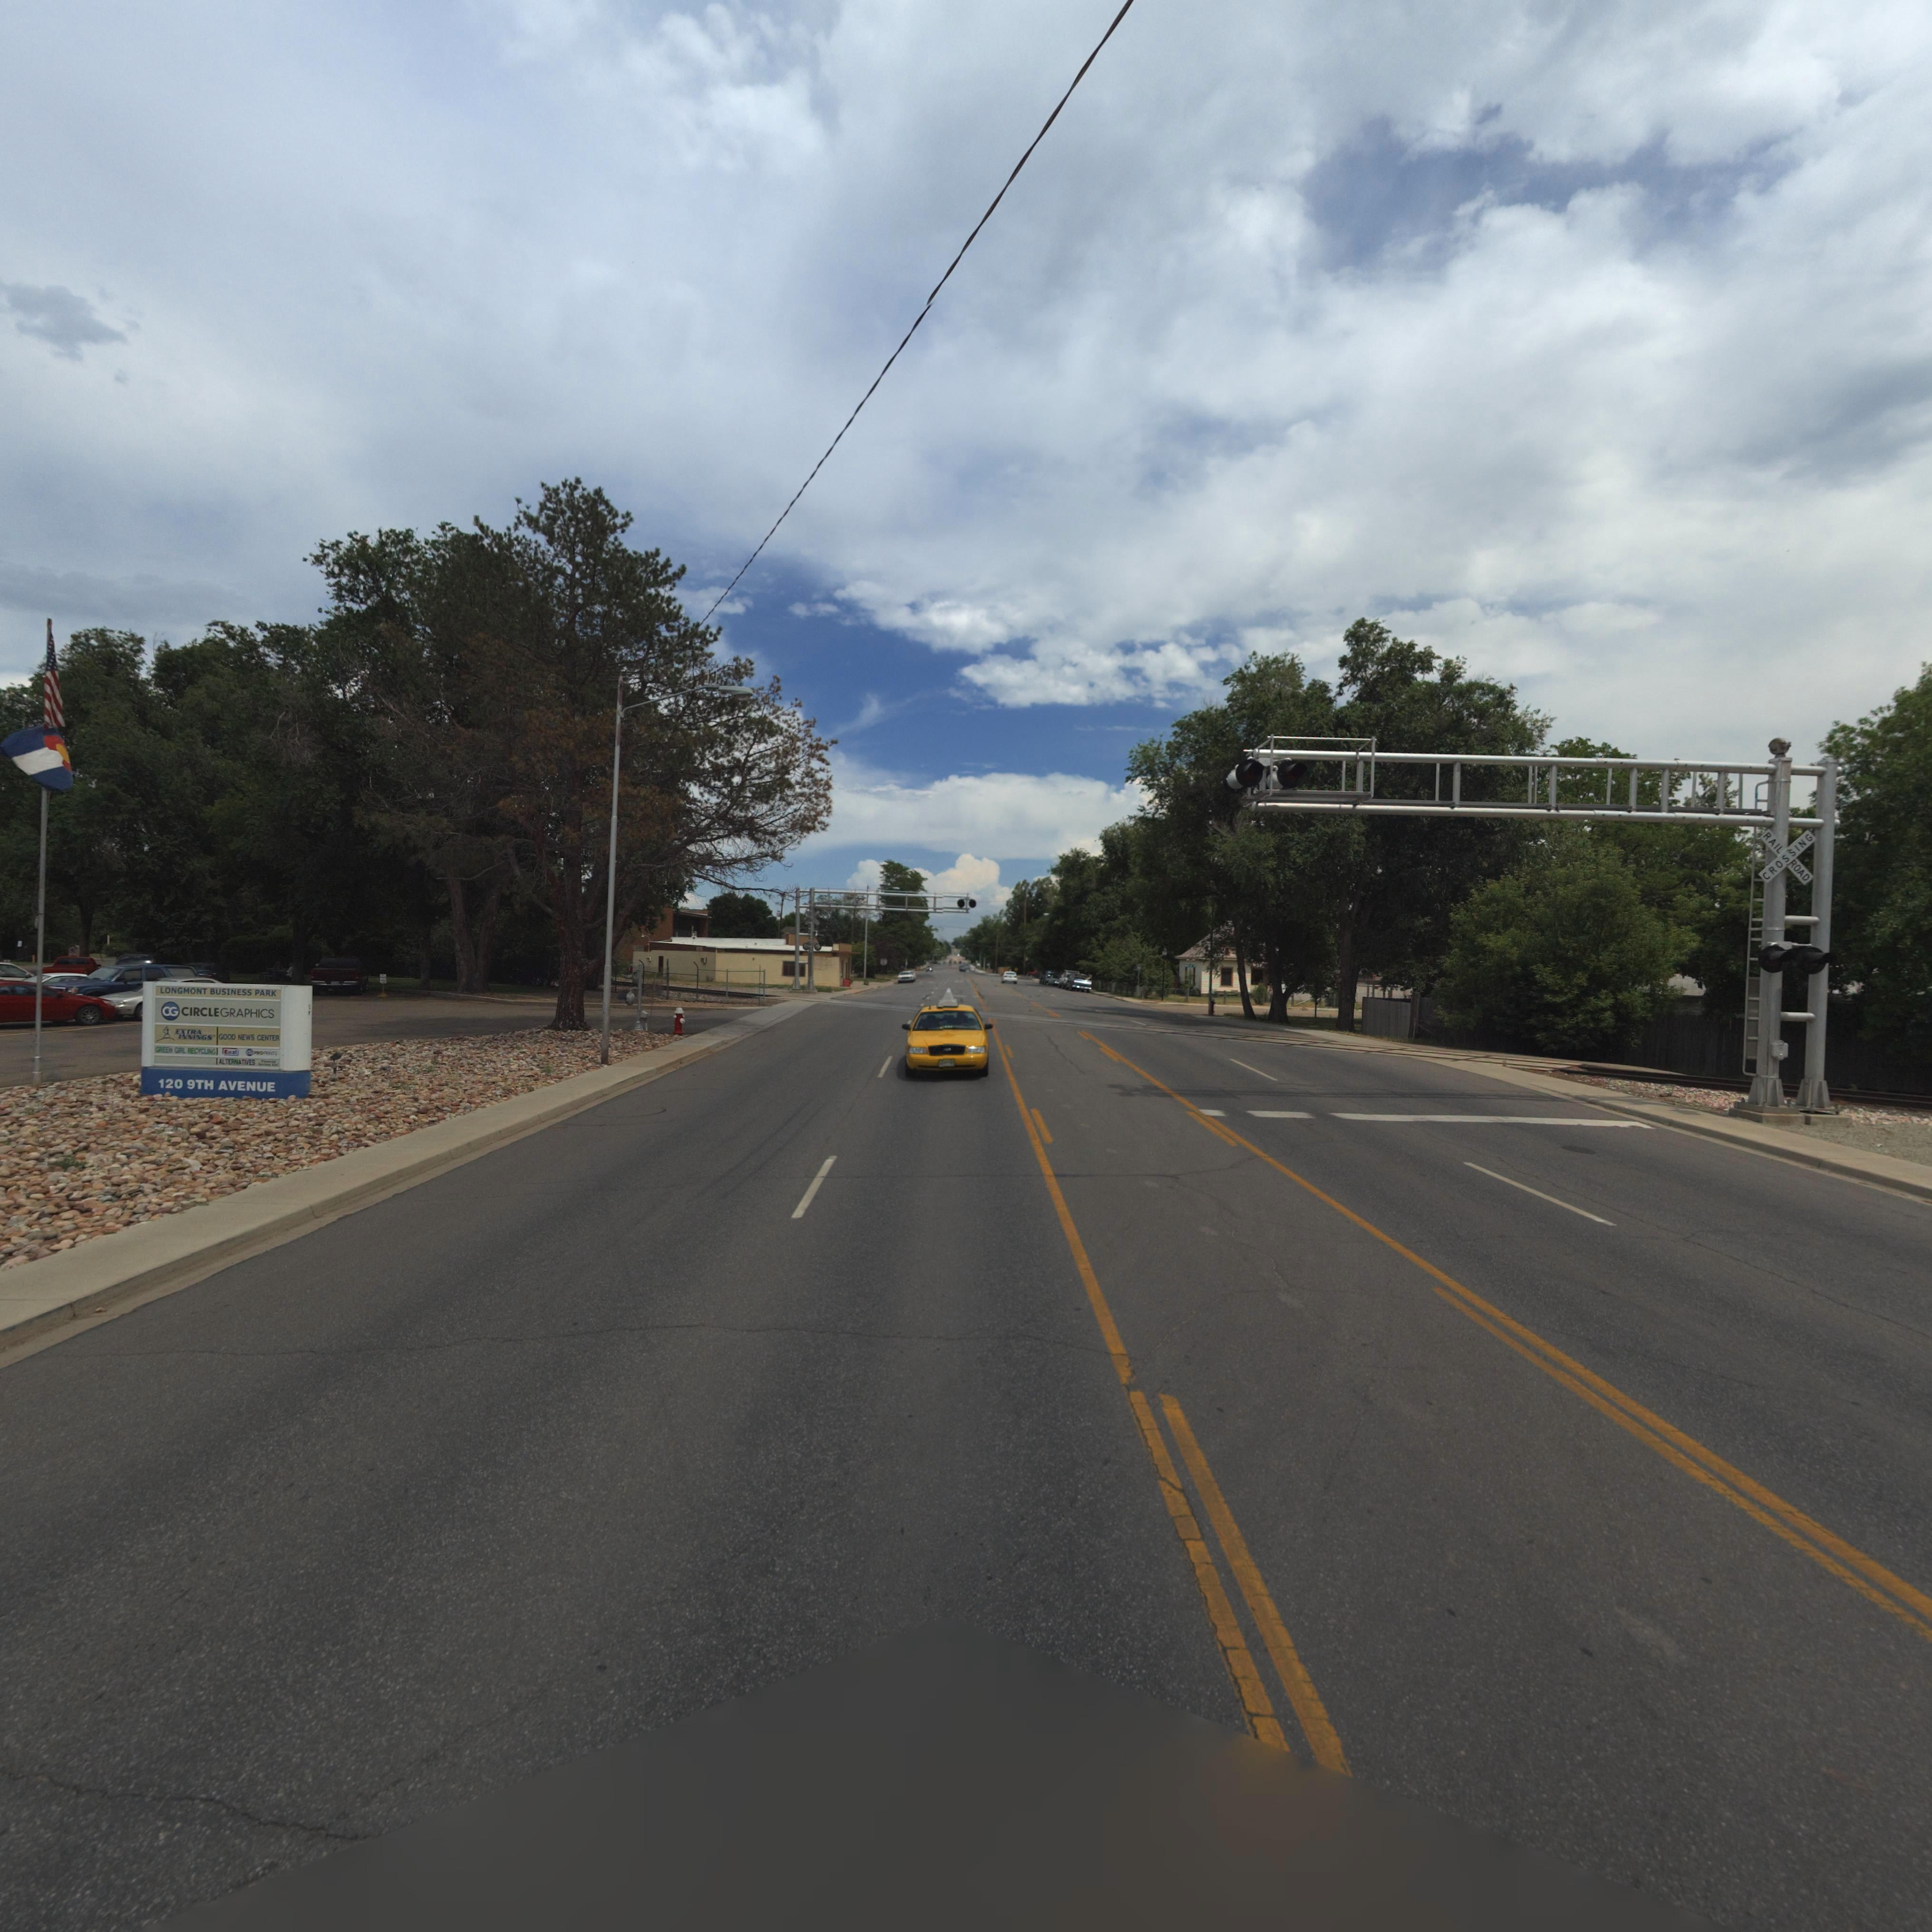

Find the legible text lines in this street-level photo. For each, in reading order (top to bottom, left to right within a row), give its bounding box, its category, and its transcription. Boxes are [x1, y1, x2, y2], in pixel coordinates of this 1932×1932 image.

[162, 1005, 179, 1016] BusinessName: *G
[181, 1006, 275, 1019] BusinessName: CIRCLEGRAPHICS
[175, 1028, 202, 1034] BusinessName: EXTRA
[177, 1034, 213, 1041] BusinessName: **INGS
[155, 1045, 216, 1055] BusinessName: GREEN GIRL RECYCLING
[224, 1049, 237, 1054] BusinessName: E***
[245, 1050, 279, 1056] BusinessName: *********G
[218, 1058, 256, 1066] BusinessName: ALTERNATIVES
[157, 1077, 183, 1089] StreetNumber: 120
[186, 1078, 277, 1092] StreetName: 9TH AVENUE